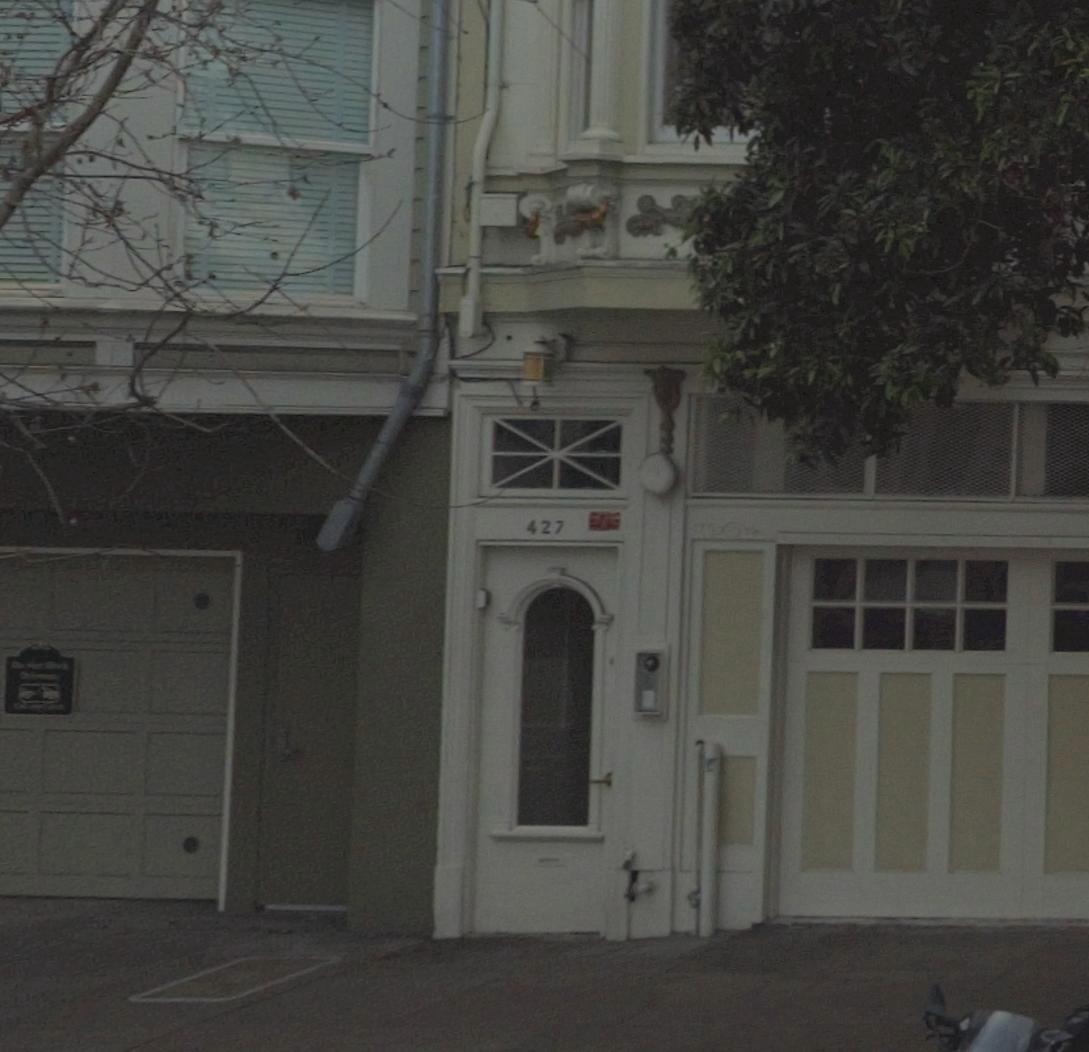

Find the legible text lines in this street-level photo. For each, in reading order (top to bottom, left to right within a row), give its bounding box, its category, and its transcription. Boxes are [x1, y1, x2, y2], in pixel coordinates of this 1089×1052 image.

[524, 517, 567, 537] StreetNumber: 427